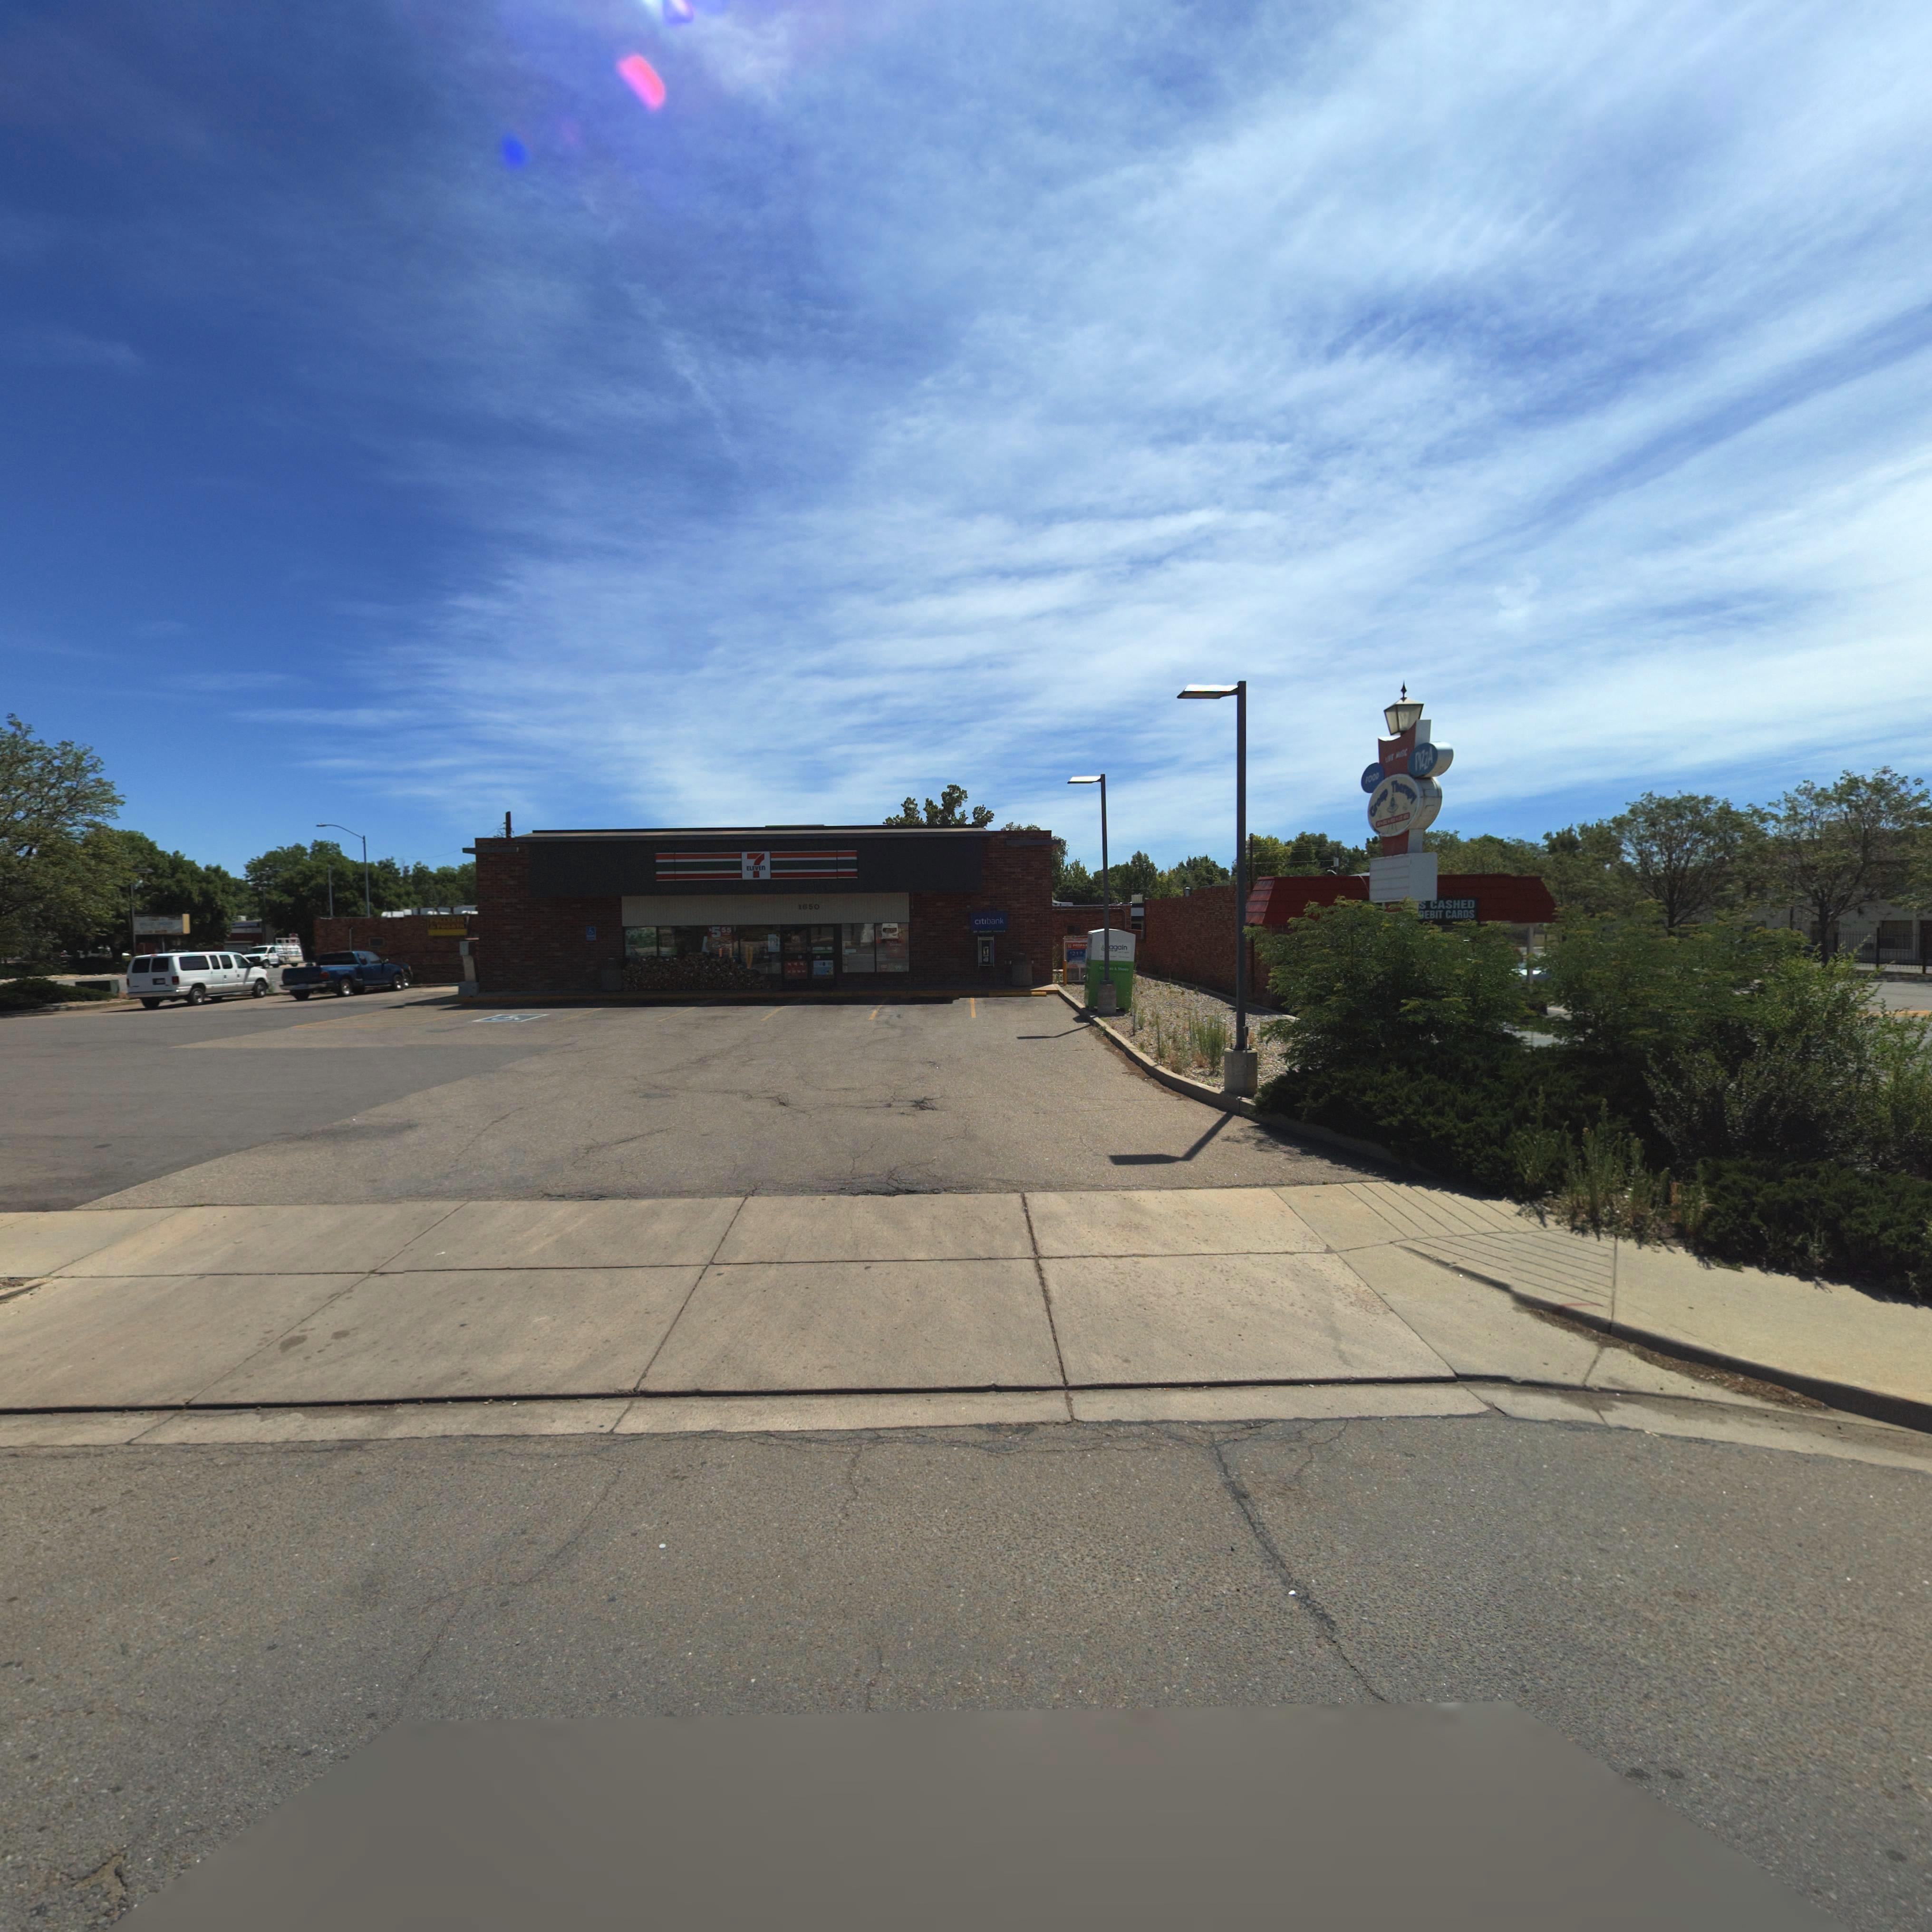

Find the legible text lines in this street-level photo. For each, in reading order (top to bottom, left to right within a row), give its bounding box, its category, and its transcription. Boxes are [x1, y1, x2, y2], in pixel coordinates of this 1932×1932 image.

[746, 852, 765, 878] BusinessName: 7
[746, 865, 765, 871] BusinessName: ELEVEn
[798, 903, 820, 909] StreetNumber: 1650
[1418, 899, 1475, 909] BusinessName: * CASHED
[429, 918, 465, 923] BusinessName: *OLL**I*
[430, 923, 464, 928] BusinessName: ** *O**T*